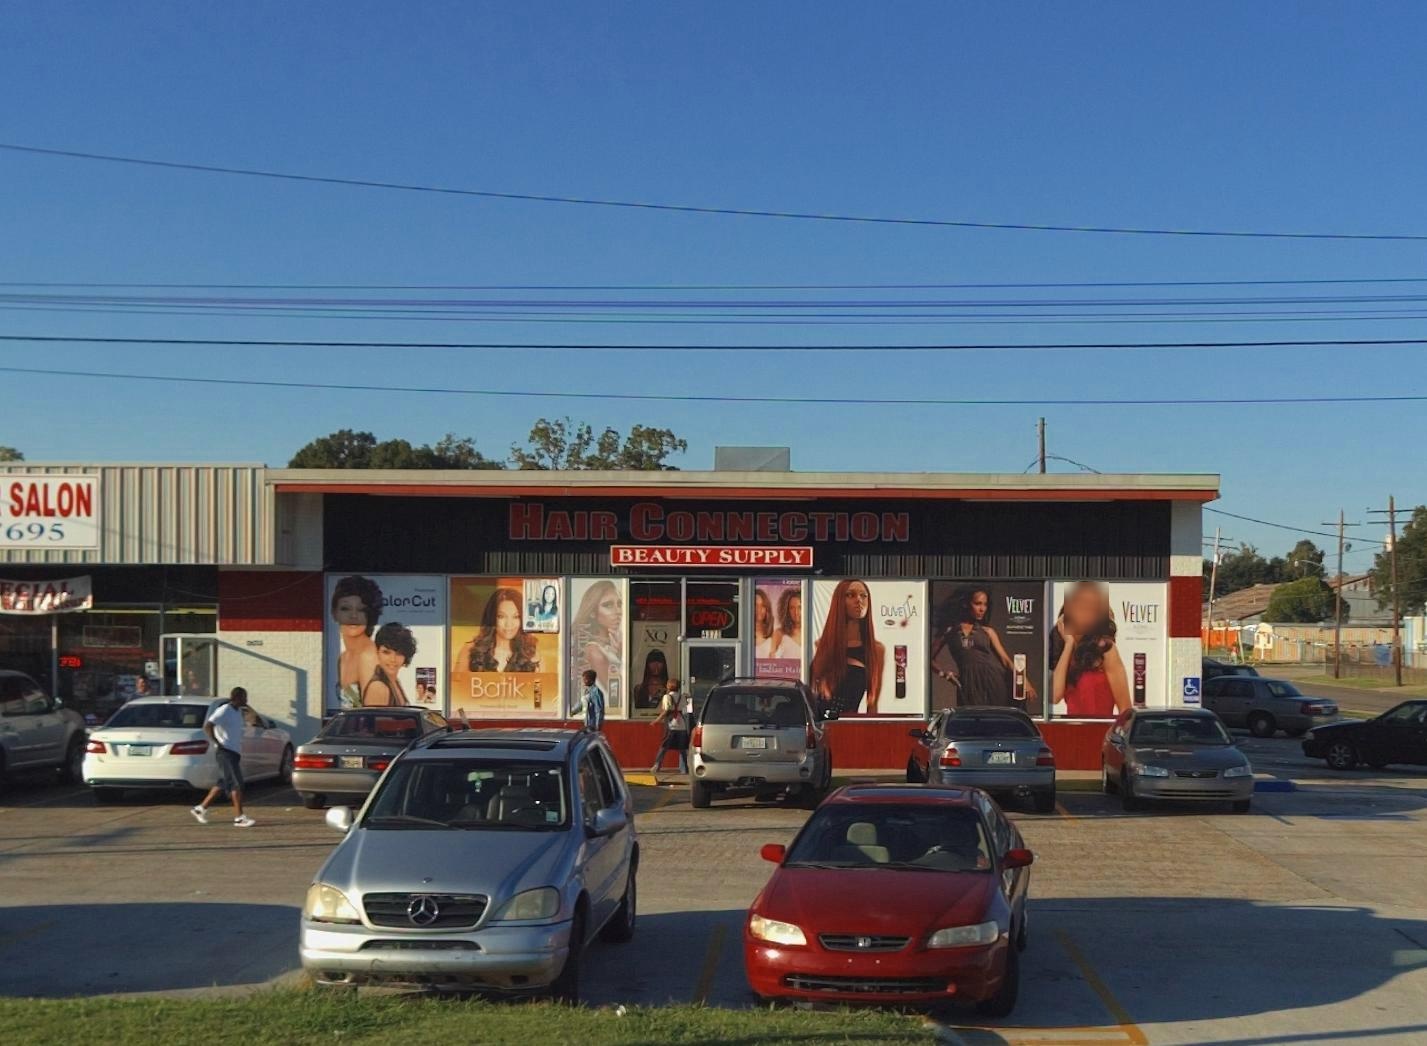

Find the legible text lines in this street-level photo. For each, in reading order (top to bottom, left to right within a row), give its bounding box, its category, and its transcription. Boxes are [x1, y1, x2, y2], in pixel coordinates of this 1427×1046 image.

[8, 481, 92, 518] None: SALON
[5, 520, 66, 542] None: 695
[509, 503, 910, 541] BusinessName: HAIR CONNECTION
[618, 548, 807, 564] BusinessName: BEAUTY SUPPLY
[0, 580, 76, 597] None: ECIAL
[380, 594, 437, 608] None: alor Cut
[691, 610, 728, 627] None: OPEN
[879, 602, 918, 619] None: DUVE**A
[1005, 595, 1036, 615] None: VELVET
[1121, 600, 1160, 624] None: VELVET
[576, 622, 592, 665] None: MILKY
[643, 627, 669, 644] None: XQ
[702, 629, 721, 638] StreetNumber: 4175
[471, 676, 525, 698] None: Batik